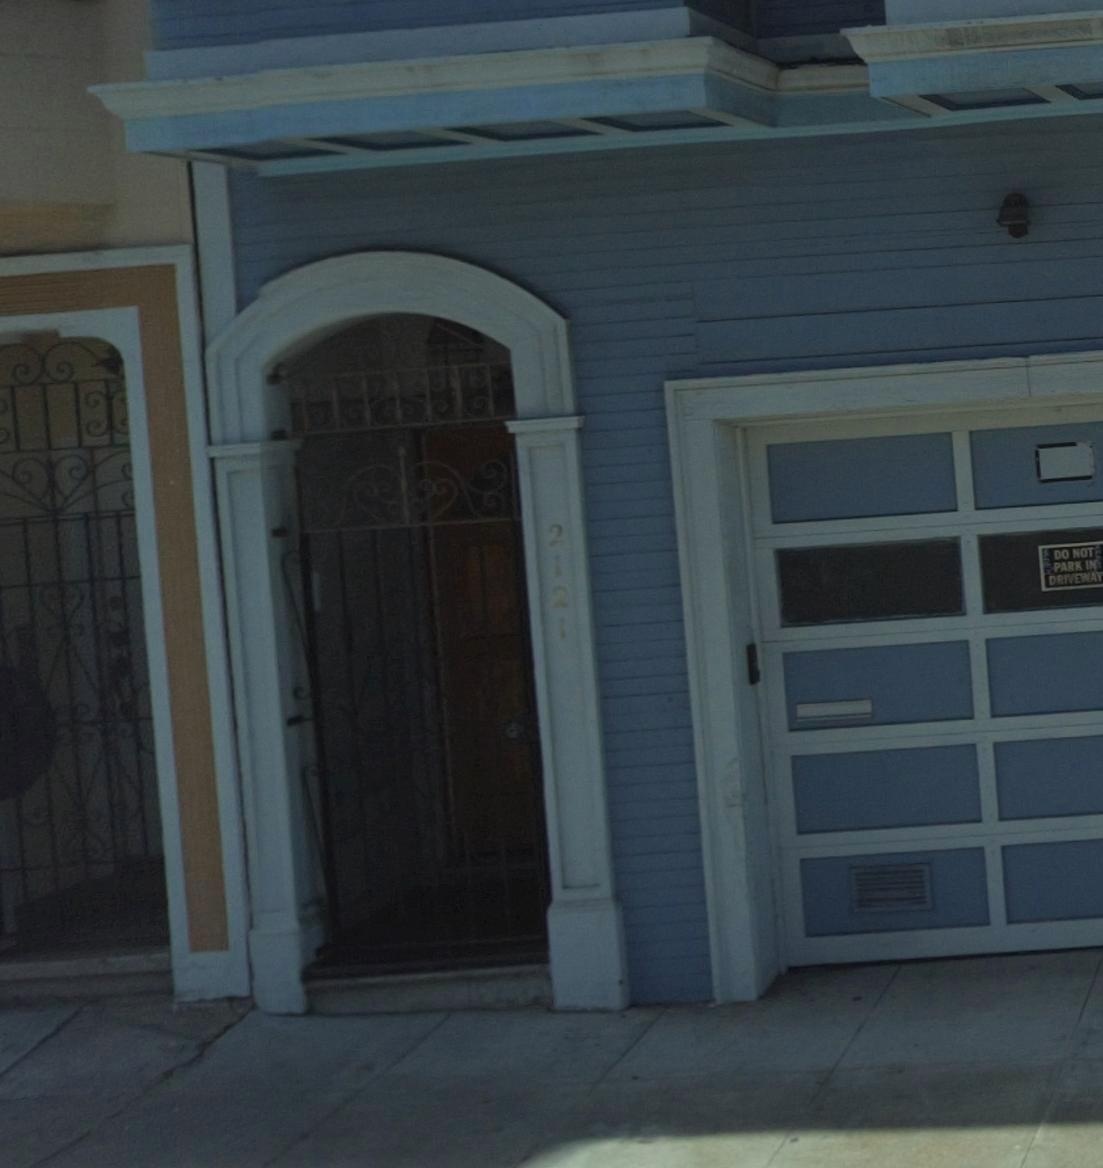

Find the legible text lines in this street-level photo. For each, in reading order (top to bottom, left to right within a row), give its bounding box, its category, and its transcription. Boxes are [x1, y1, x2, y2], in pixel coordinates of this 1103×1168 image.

[1052, 545, 1095, 561] None: DO NOT
[1051, 558, 1099, 574] None: PARK IN
[547, 519, 573, 643] StreetNumber: 2121
[1048, 571, 1099, 587] None: DRIVEWA